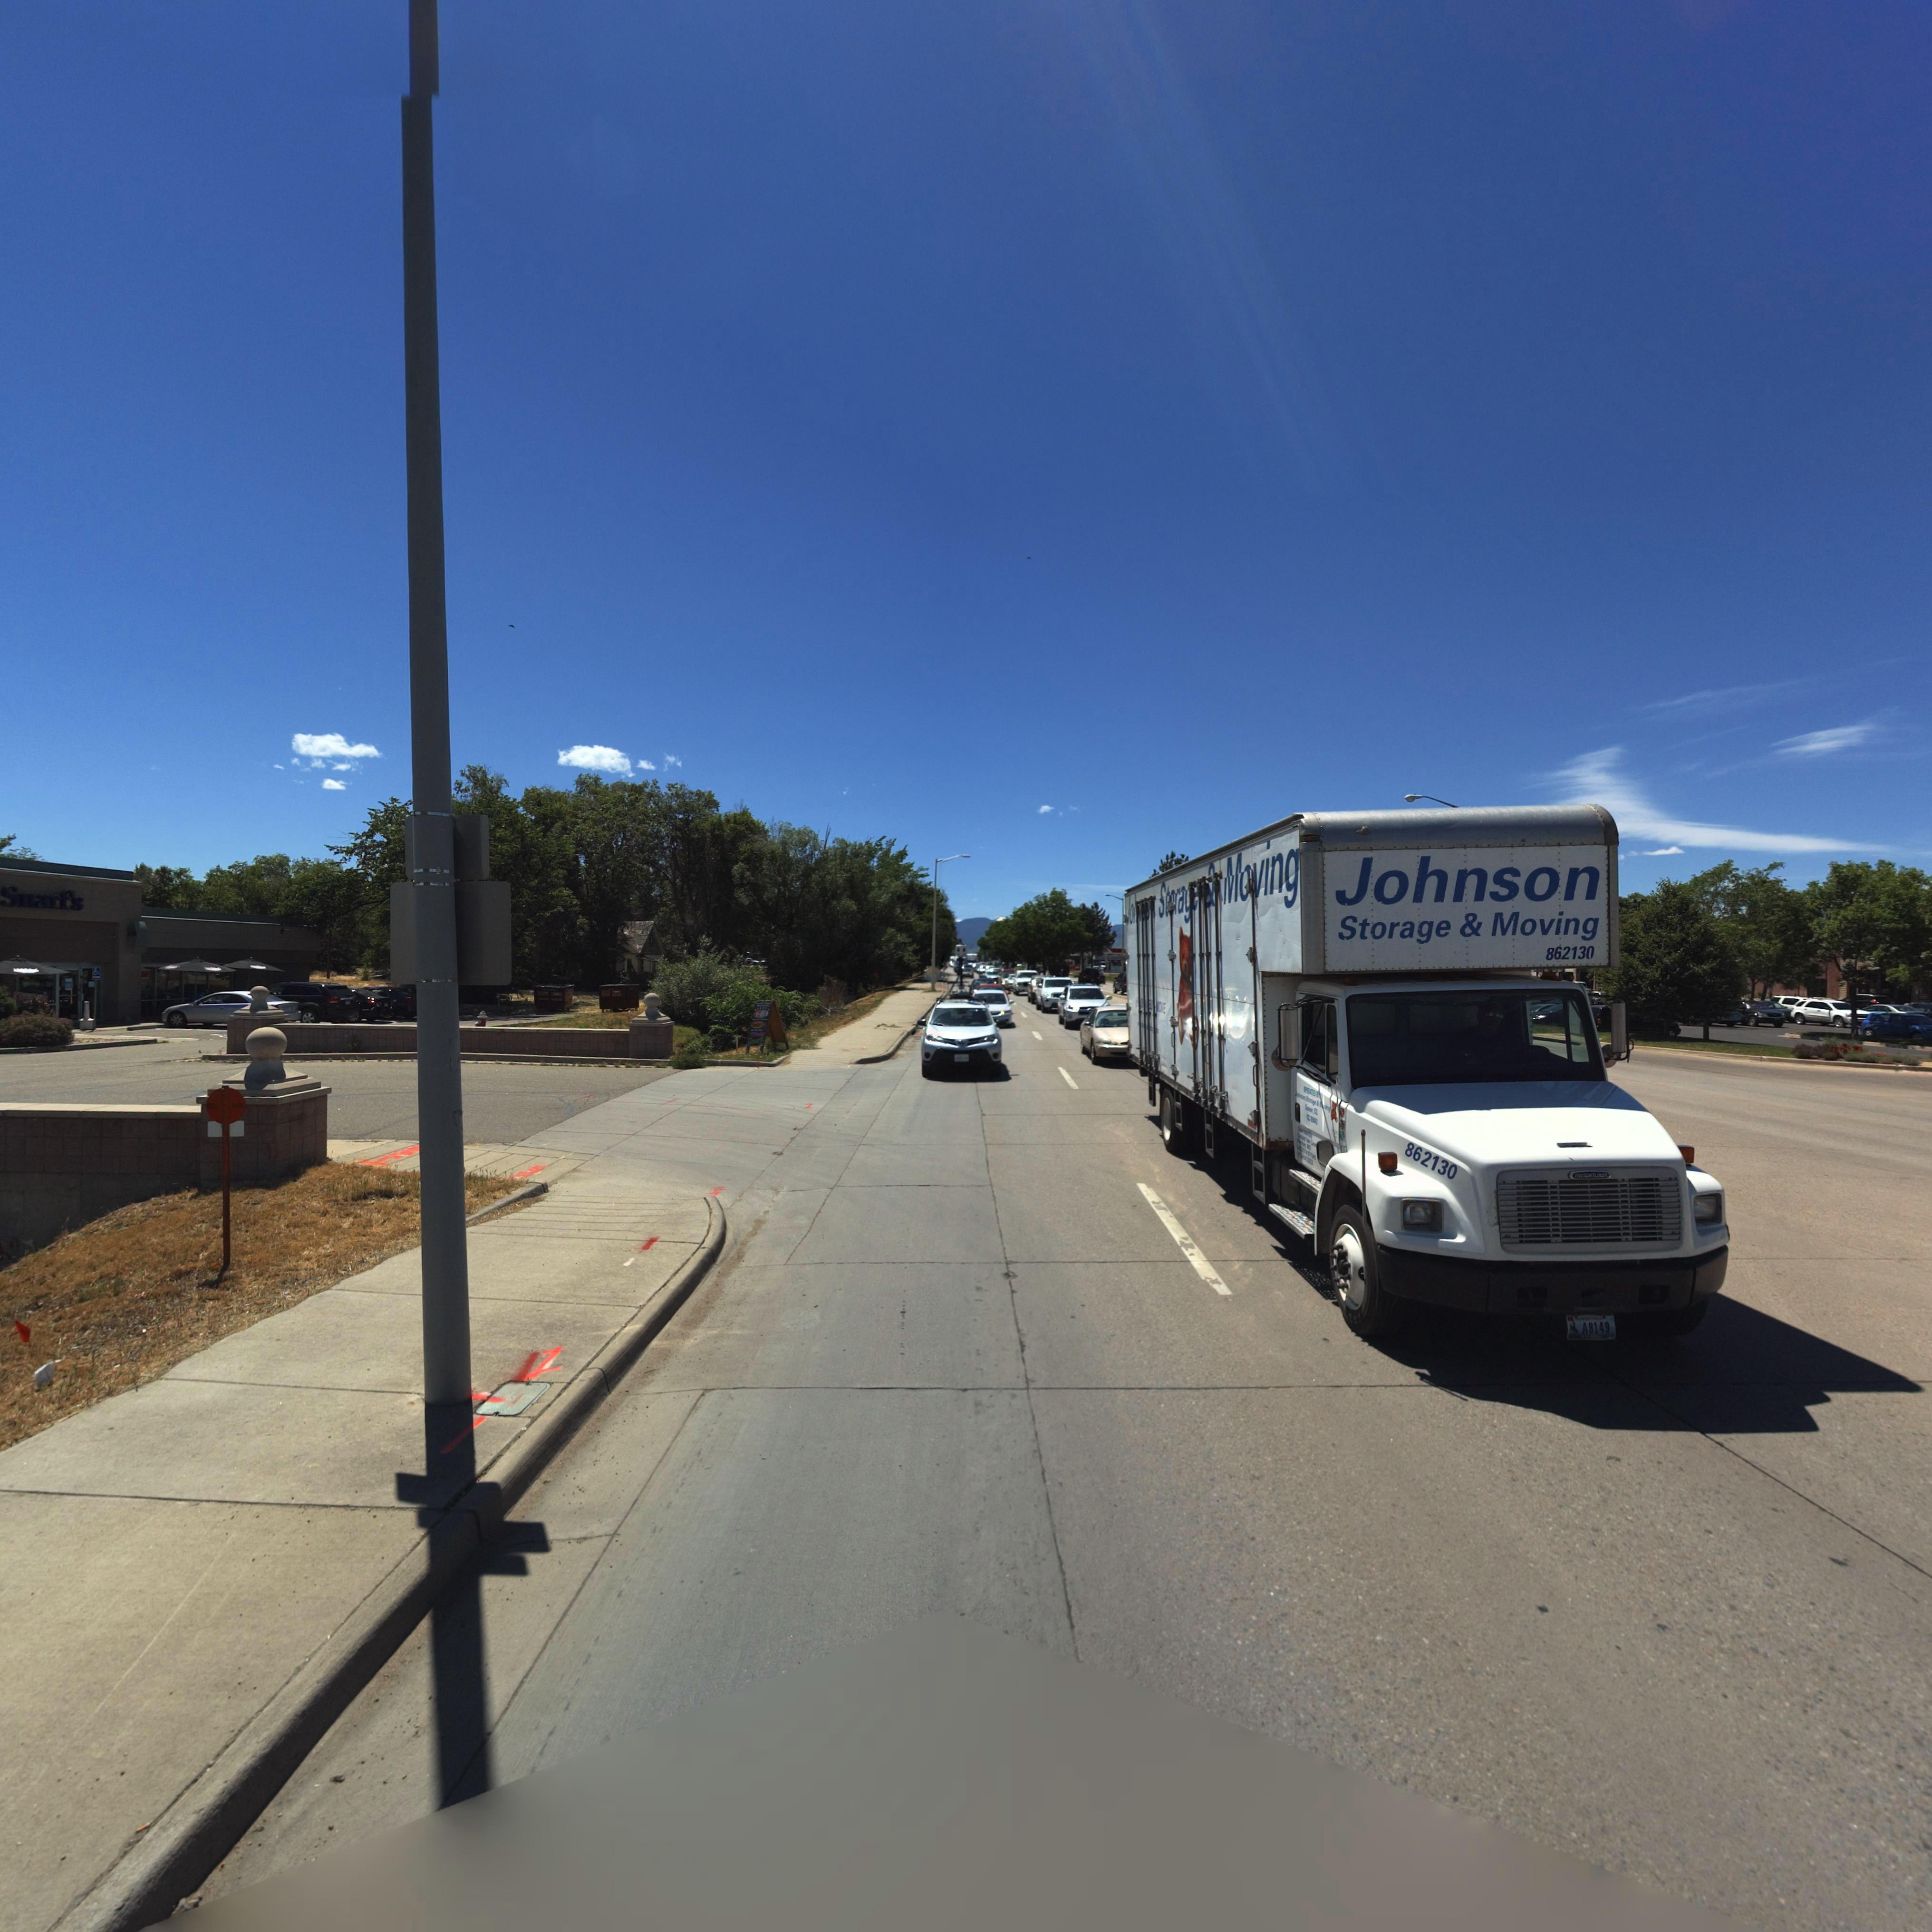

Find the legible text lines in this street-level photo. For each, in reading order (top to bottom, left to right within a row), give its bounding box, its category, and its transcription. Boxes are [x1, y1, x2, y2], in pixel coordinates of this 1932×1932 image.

[2, 884, 86, 912] BusinessName: *narfs